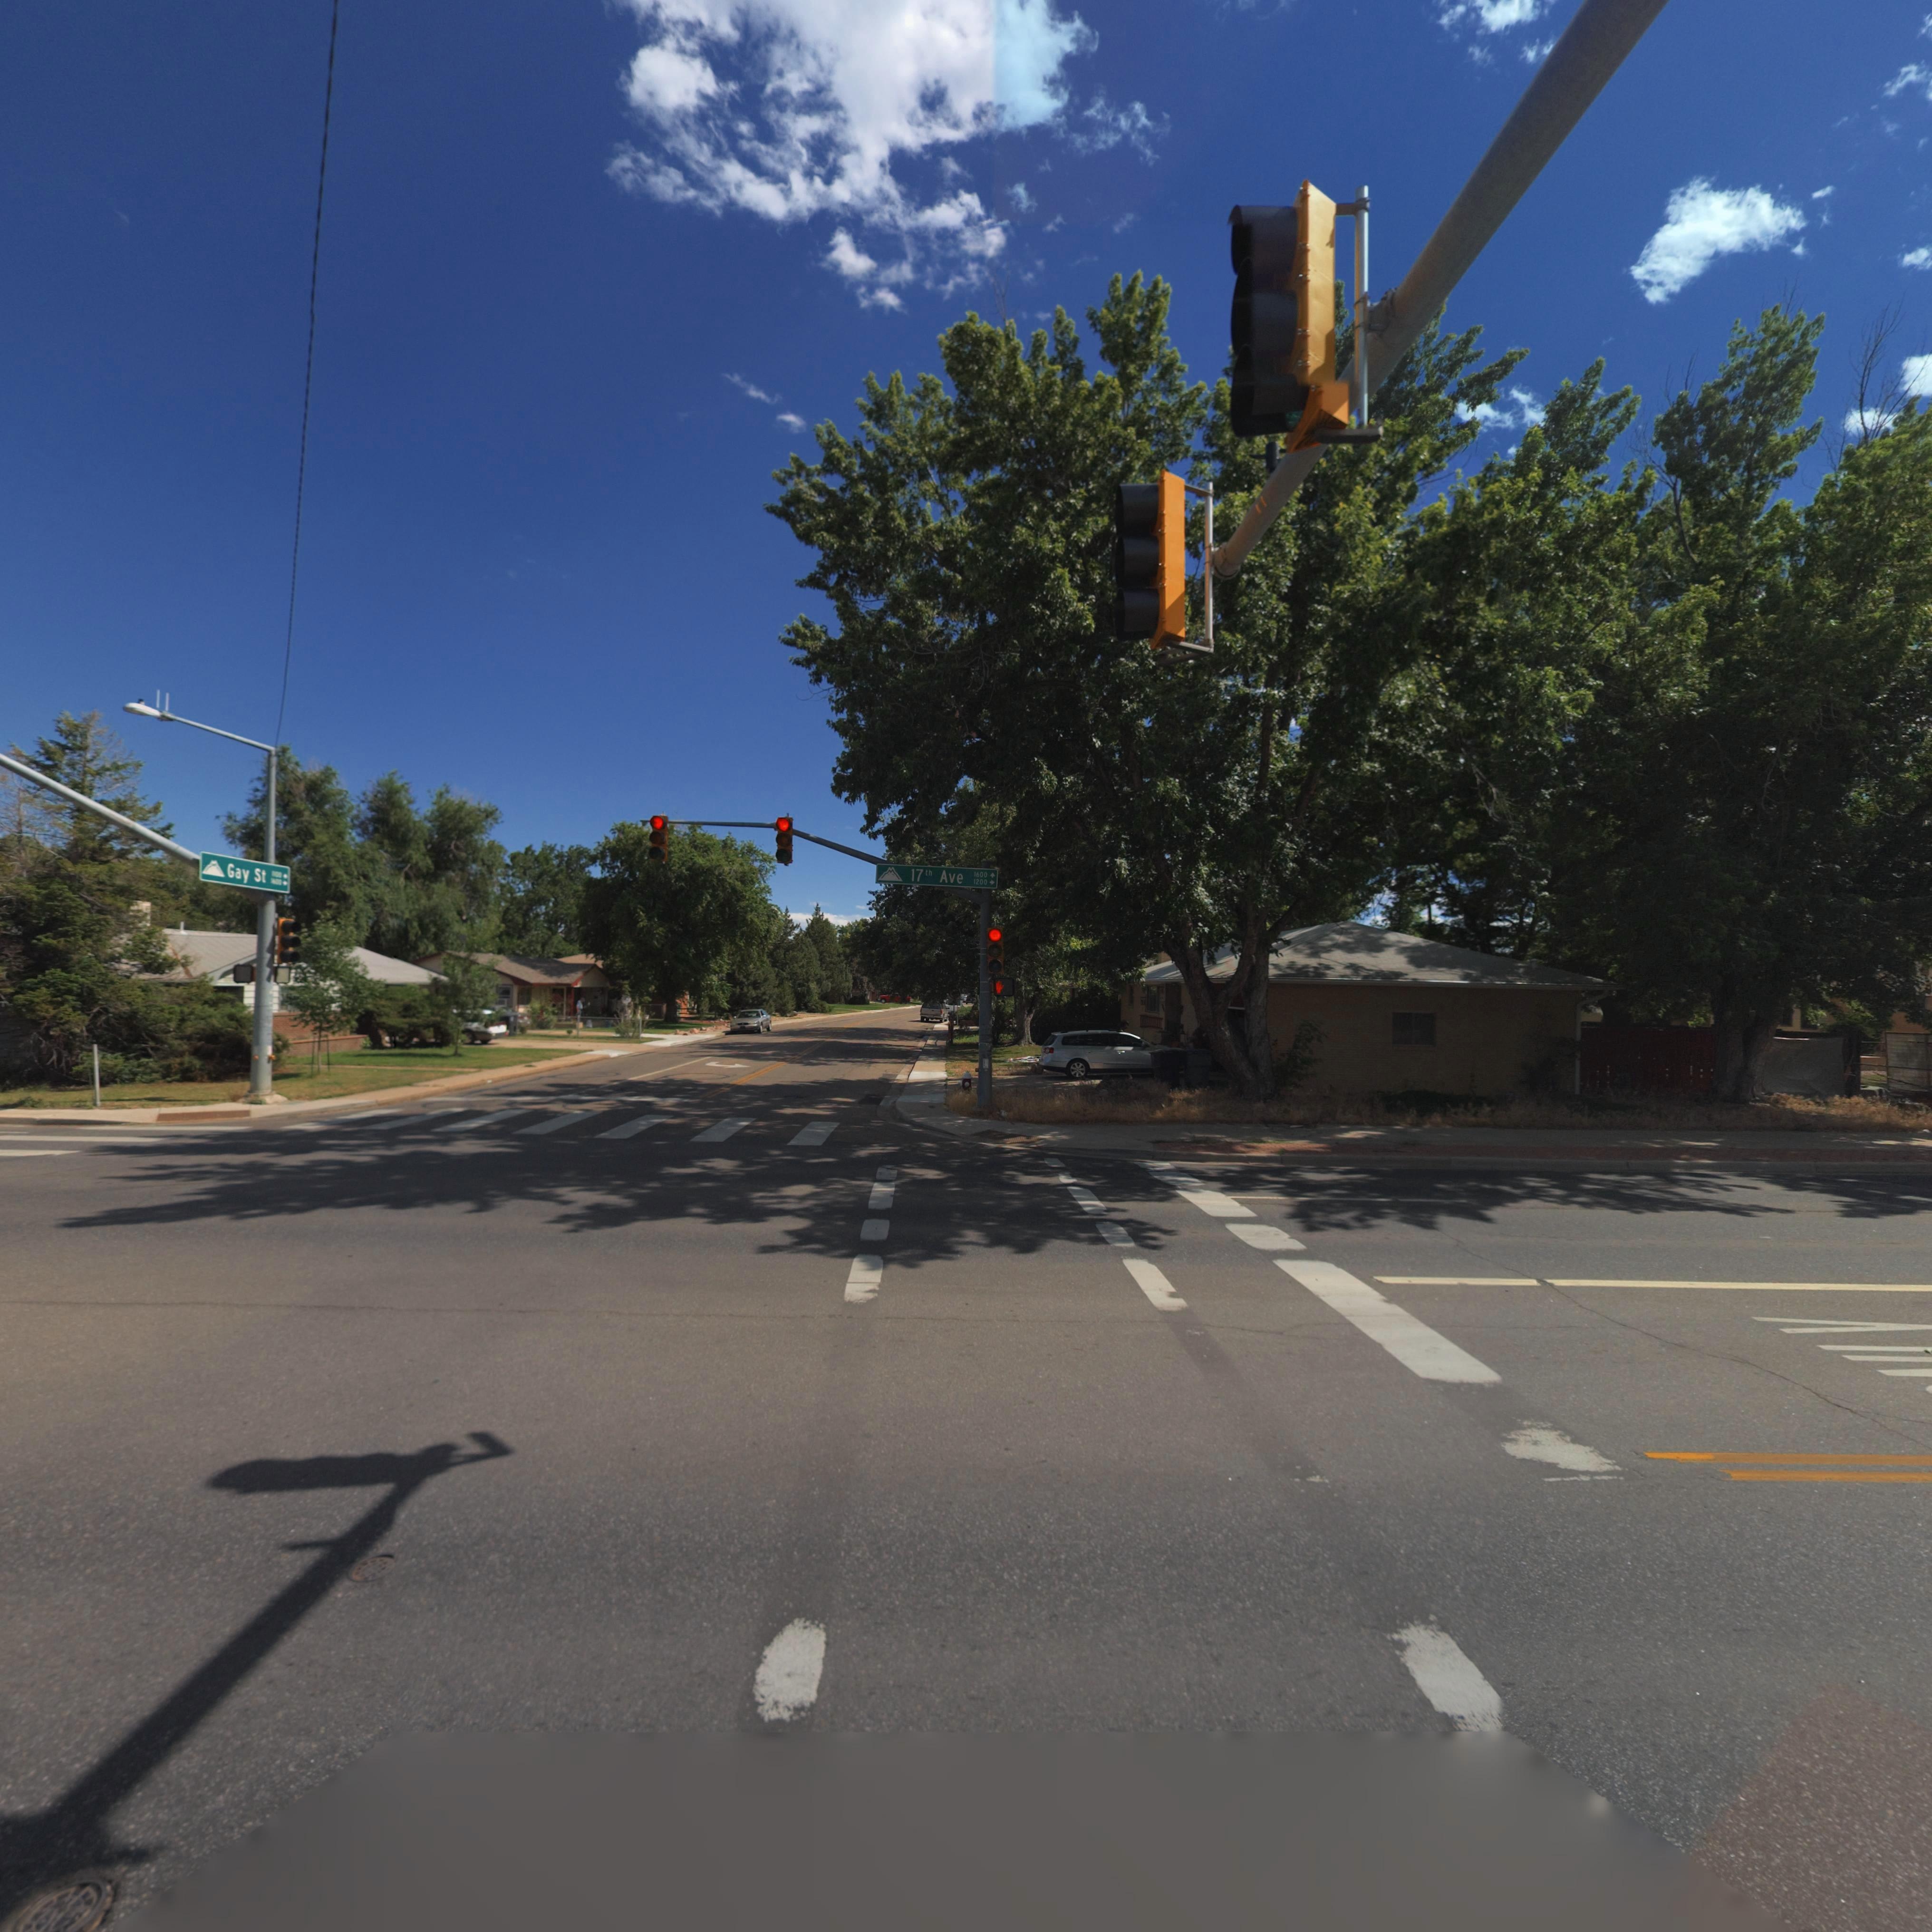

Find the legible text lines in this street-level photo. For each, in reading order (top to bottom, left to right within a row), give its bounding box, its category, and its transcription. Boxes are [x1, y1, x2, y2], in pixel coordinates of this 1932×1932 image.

[227, 863, 266, 883] StreetName: Gay St
[271, 869, 282, 878] StreetNumberRange: 1100
[911, 868, 963, 884] StreetName: 17th Ave
[974, 871, 987, 878] StreetNumberRange: 1600
[270, 877, 288, 886] StreetNumberRange: 1600 ->
[974, 878, 995, 885] StreetNumberRange: 1200 ->